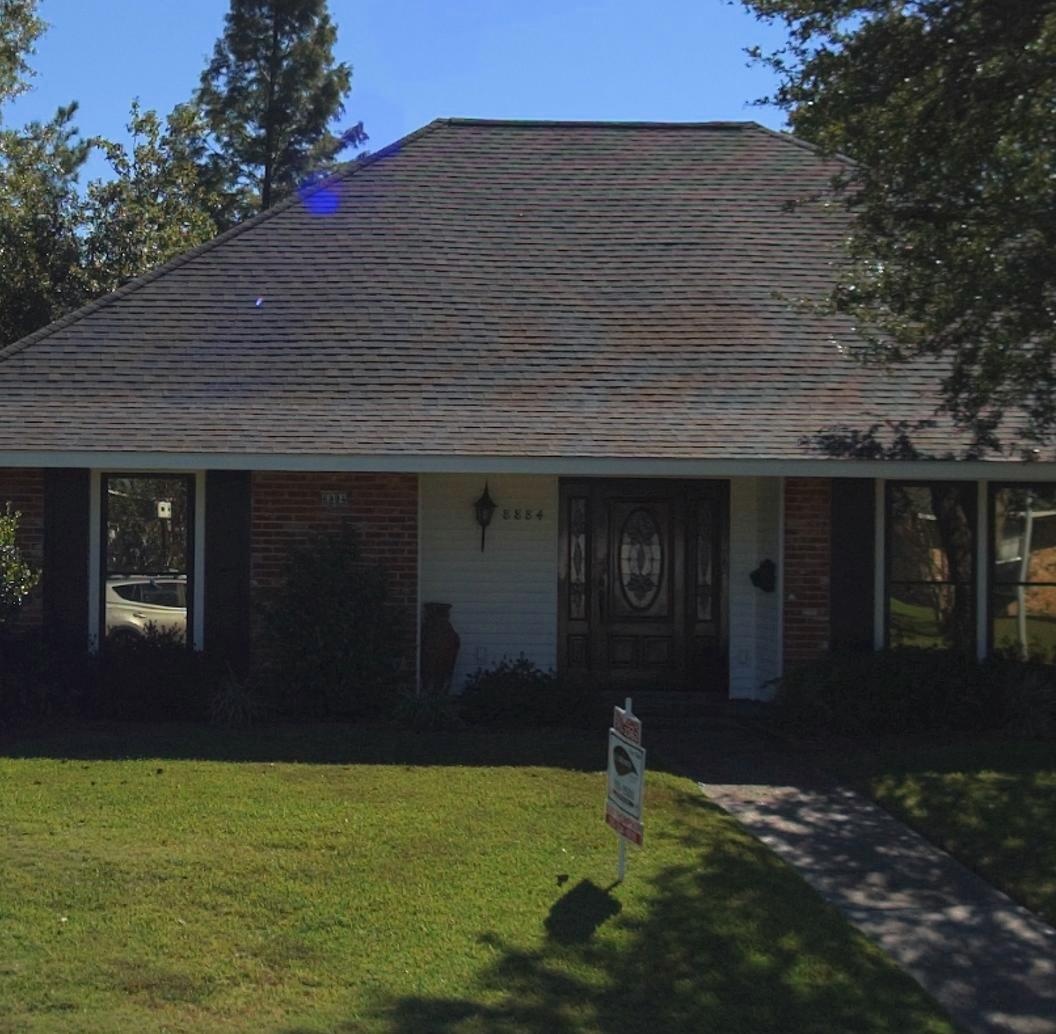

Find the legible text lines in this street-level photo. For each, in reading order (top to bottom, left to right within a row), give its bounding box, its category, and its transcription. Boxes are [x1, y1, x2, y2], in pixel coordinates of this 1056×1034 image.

[321, 492, 347, 504] StreetNumber: 884
[501, 507, 544, 522] StreetNumber: 8884